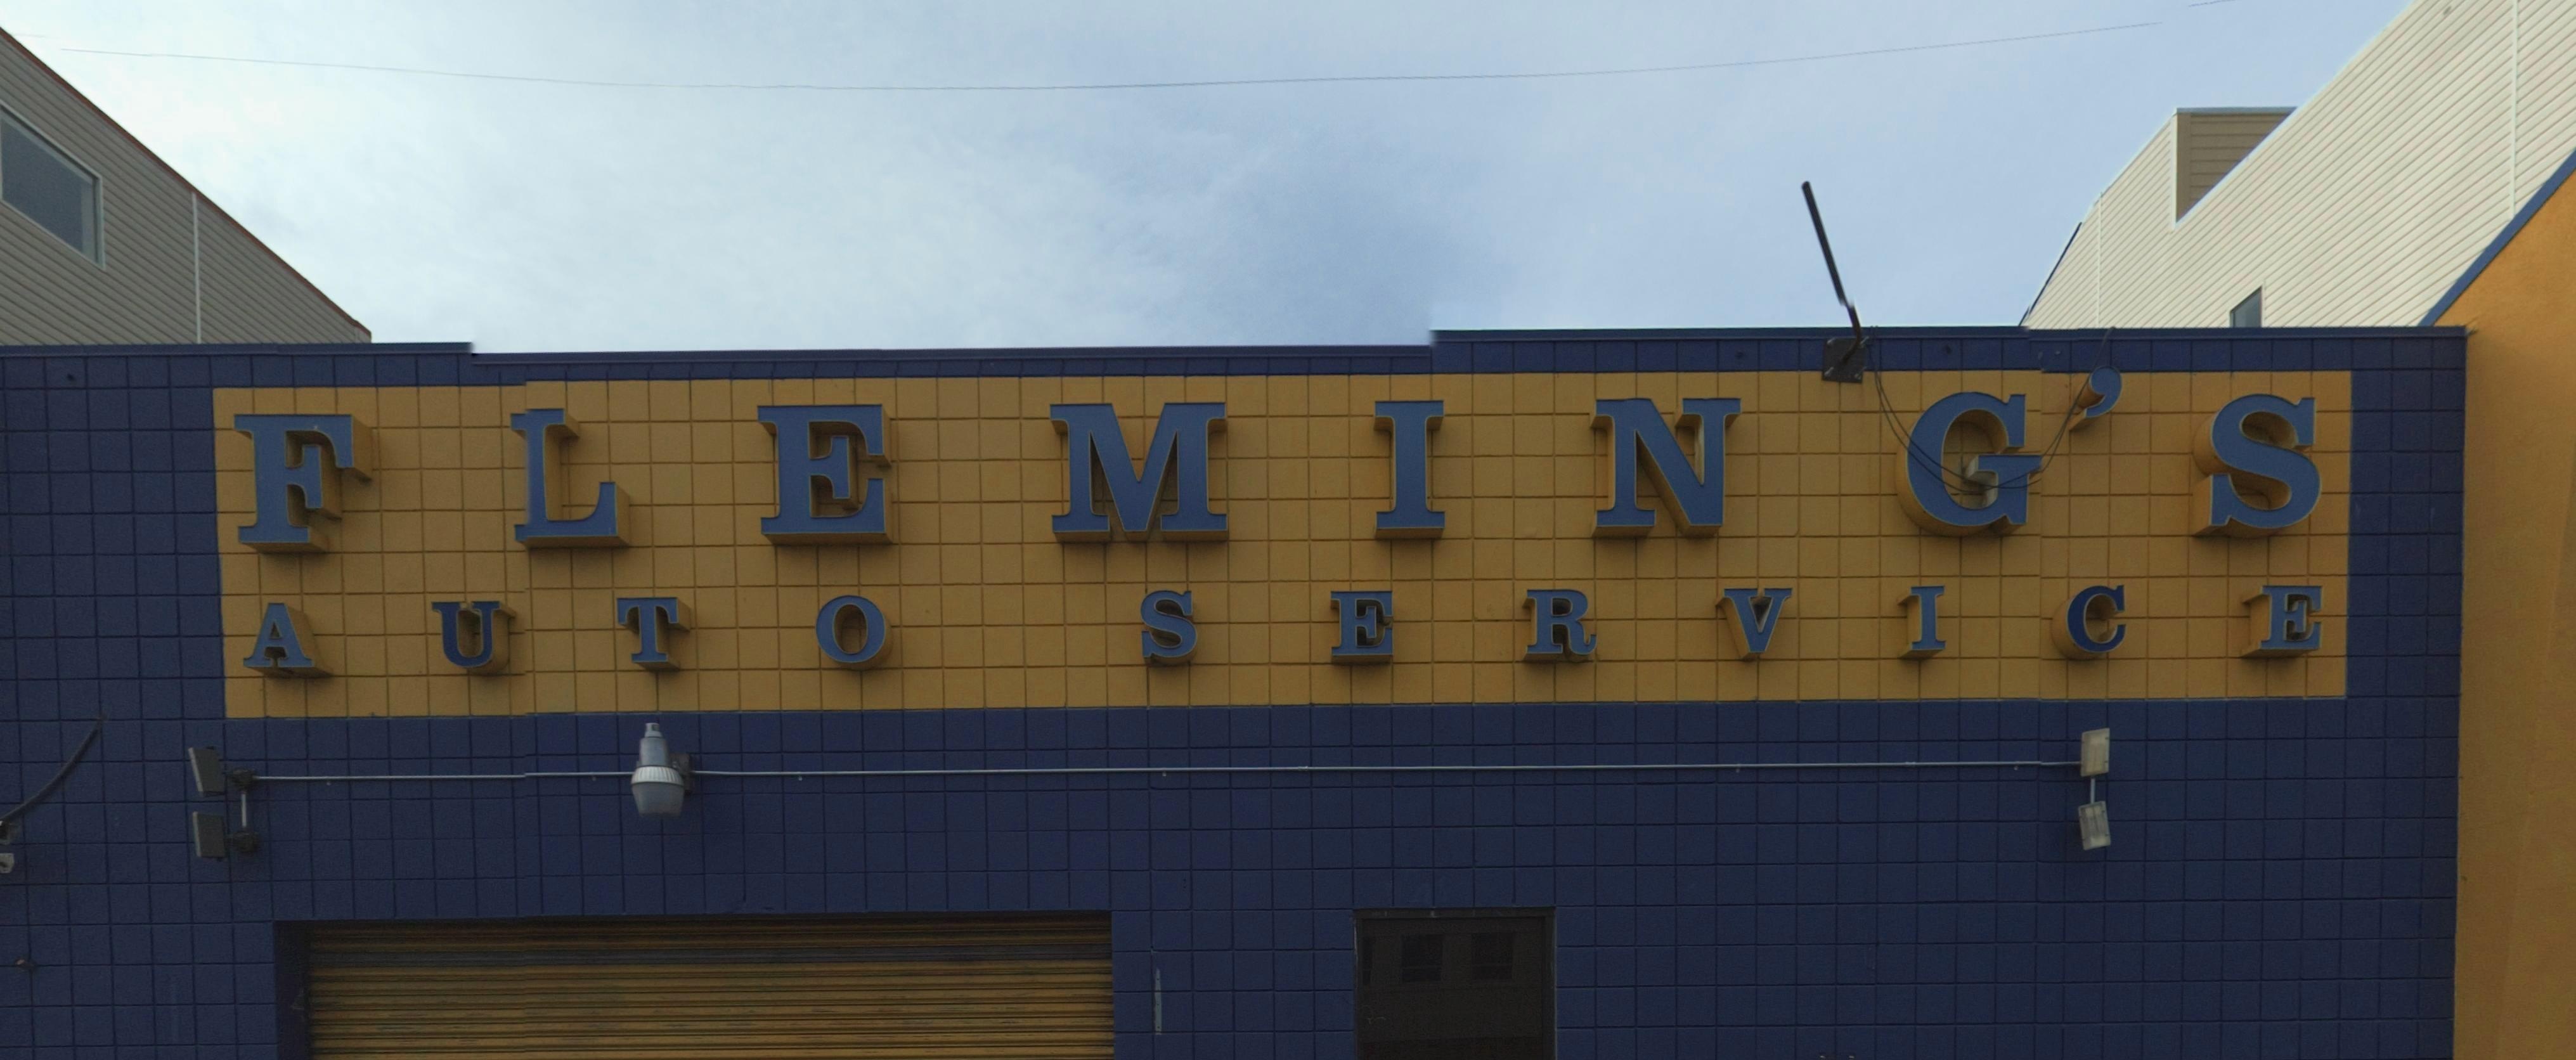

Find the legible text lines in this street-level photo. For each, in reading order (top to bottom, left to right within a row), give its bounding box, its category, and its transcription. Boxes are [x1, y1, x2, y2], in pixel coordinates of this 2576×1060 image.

[223, 353, 2335, 565] BusinessName: FLEMING'S
[221, 571, 2338, 694] BusinessName: AUTO SERVICE